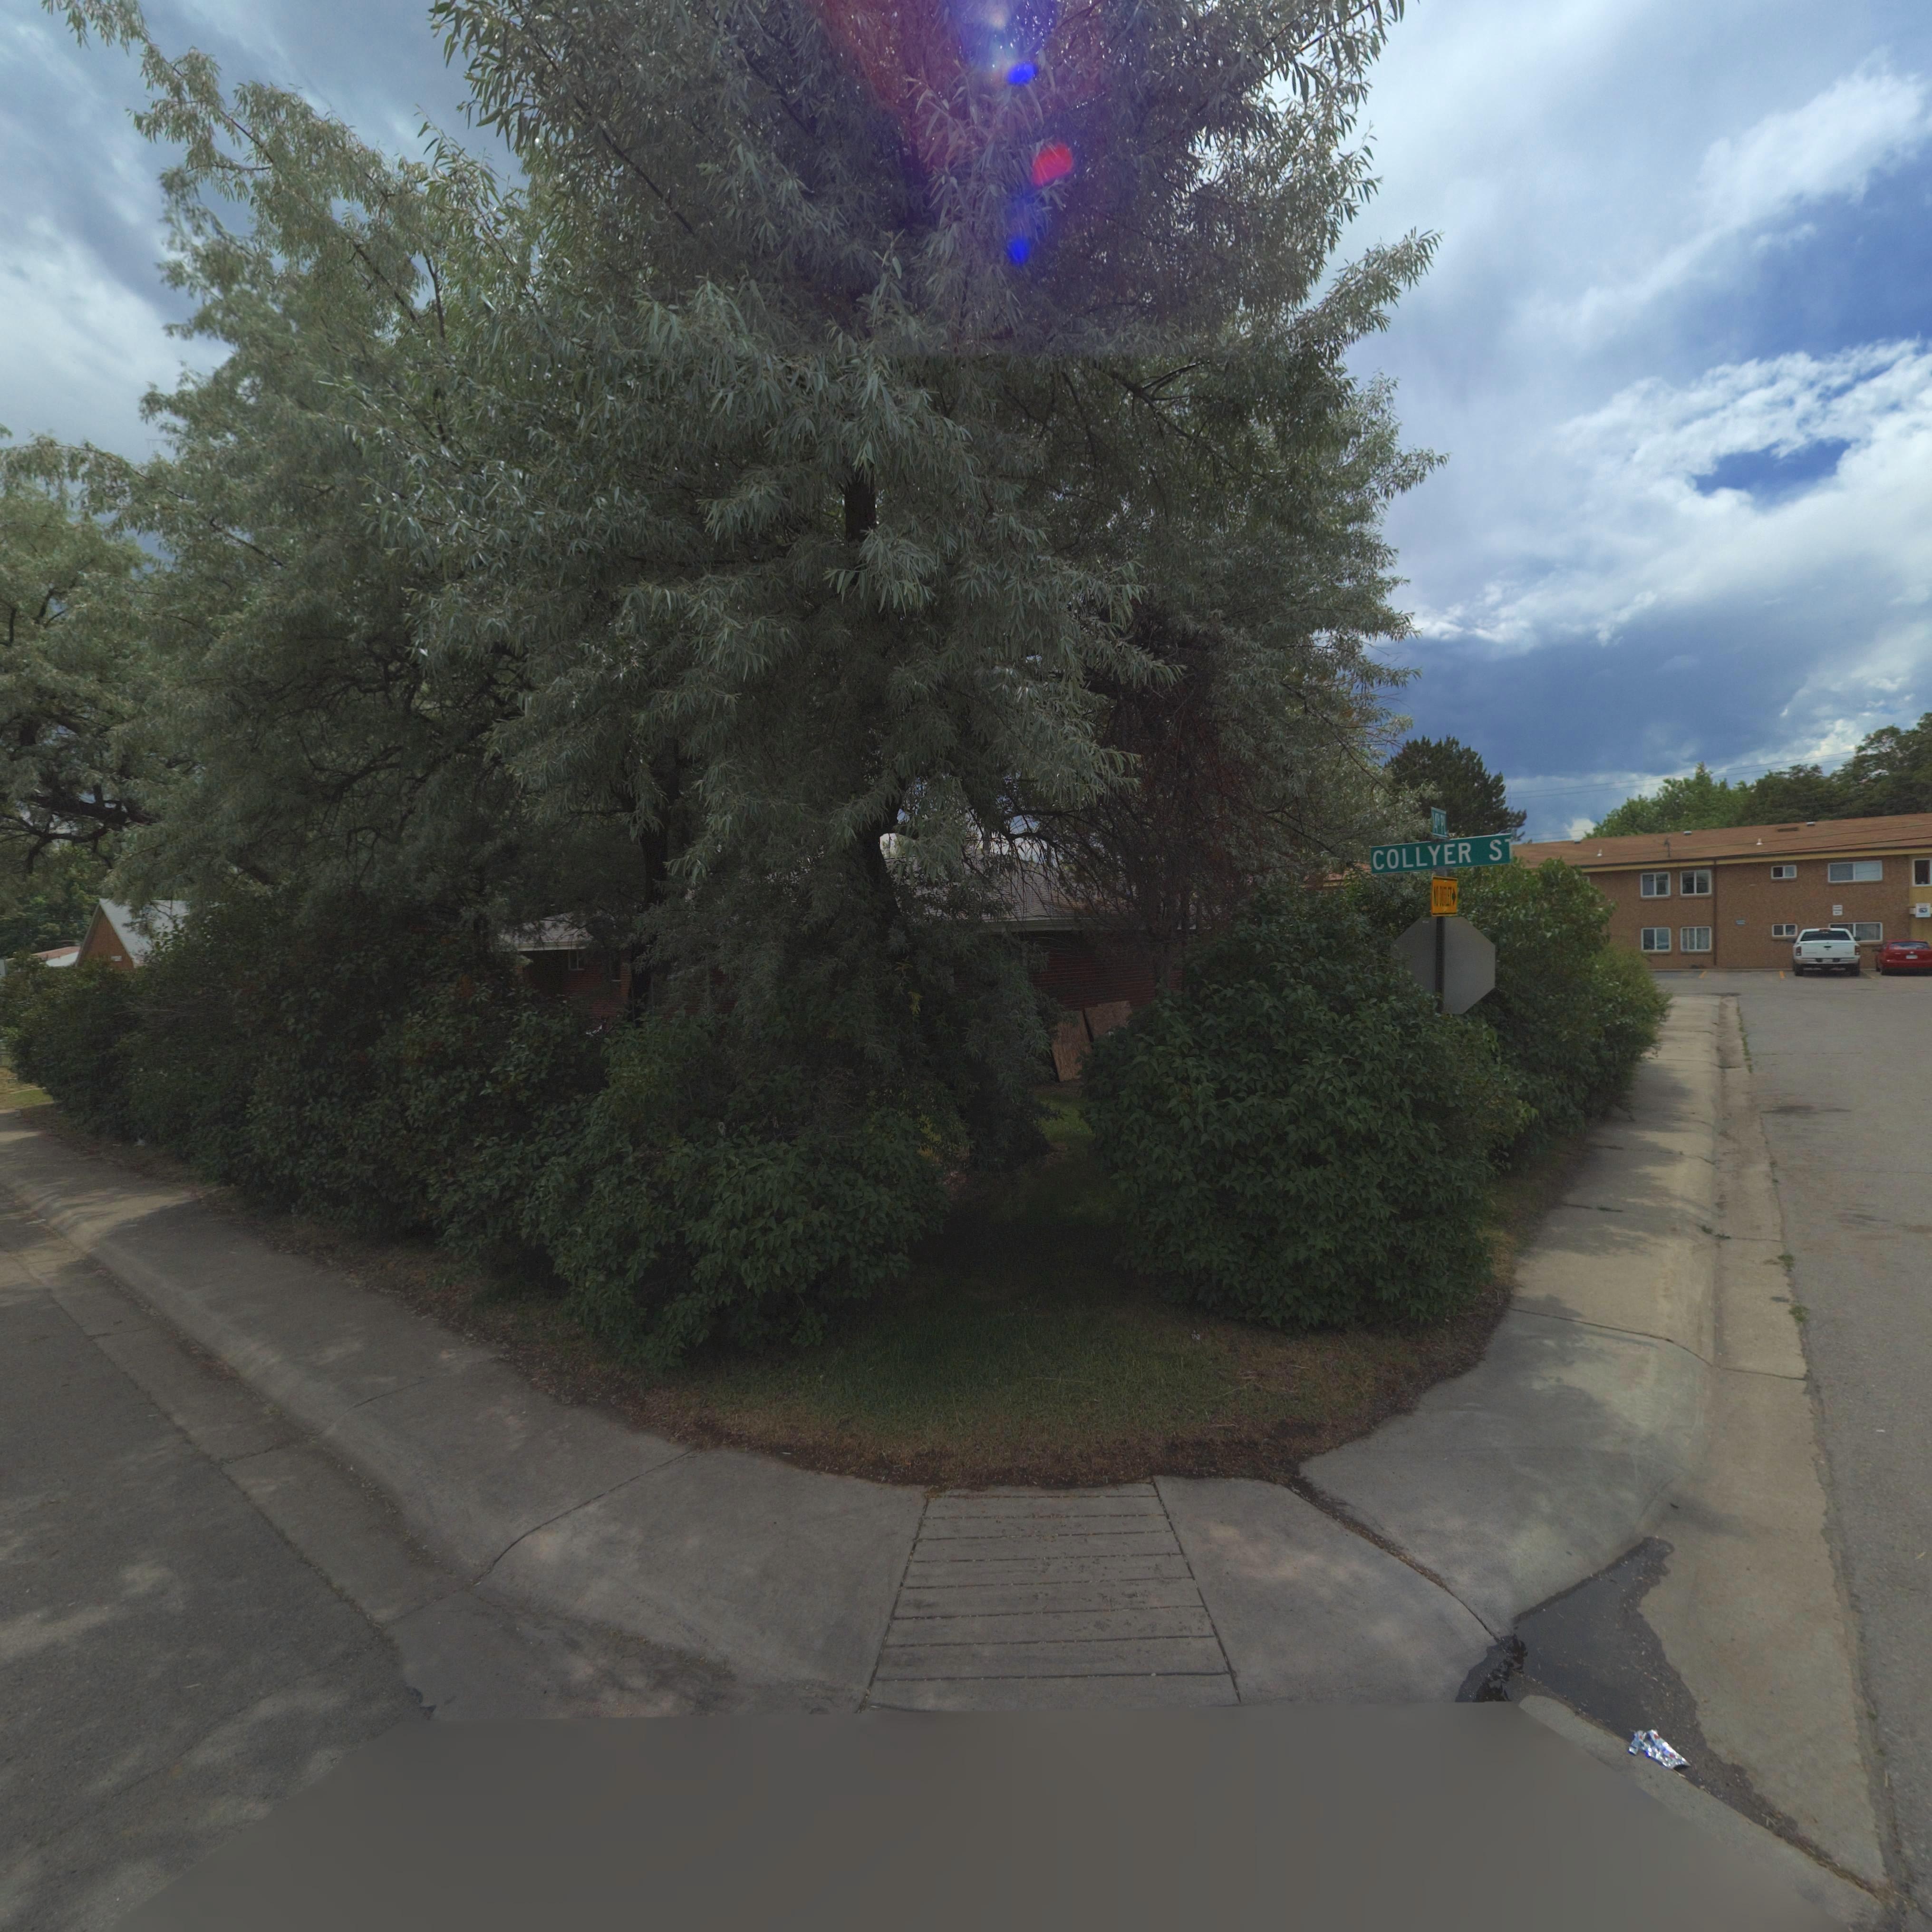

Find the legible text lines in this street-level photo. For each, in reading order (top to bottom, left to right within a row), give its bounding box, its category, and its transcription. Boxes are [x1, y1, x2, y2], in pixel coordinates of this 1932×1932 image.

[1431, 811, 1447, 835] StreetName: 14** PL
[1372, 839, 1502, 870] StreetName: COLLYER S